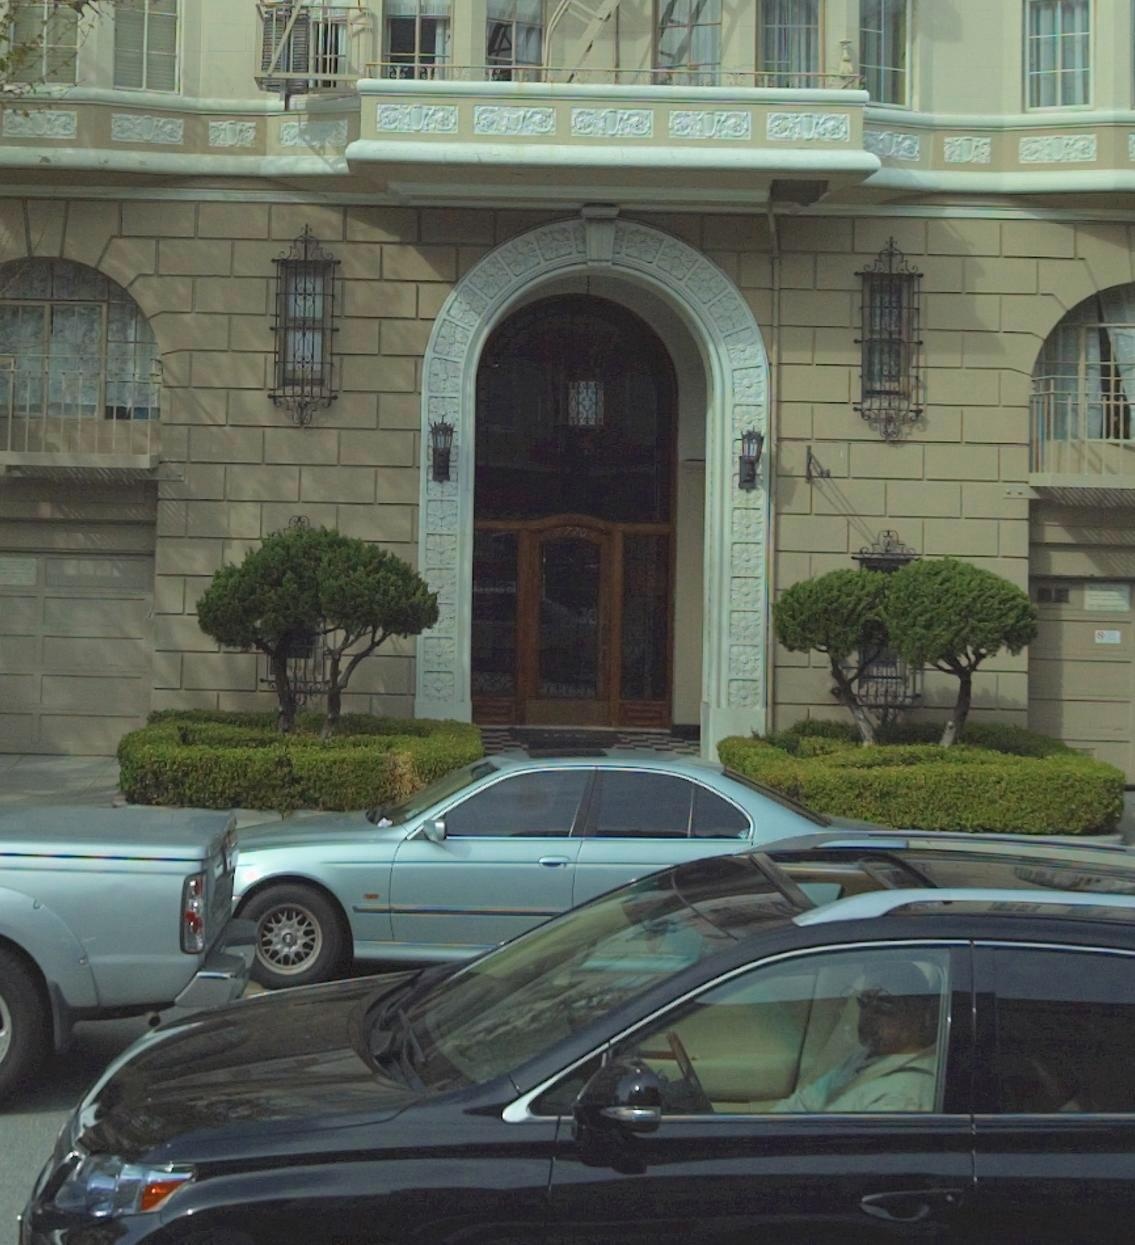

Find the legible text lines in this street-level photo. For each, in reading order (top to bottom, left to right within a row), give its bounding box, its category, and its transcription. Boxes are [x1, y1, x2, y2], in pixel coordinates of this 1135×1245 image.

[552, 524, 591, 541] StreetNumber: *770